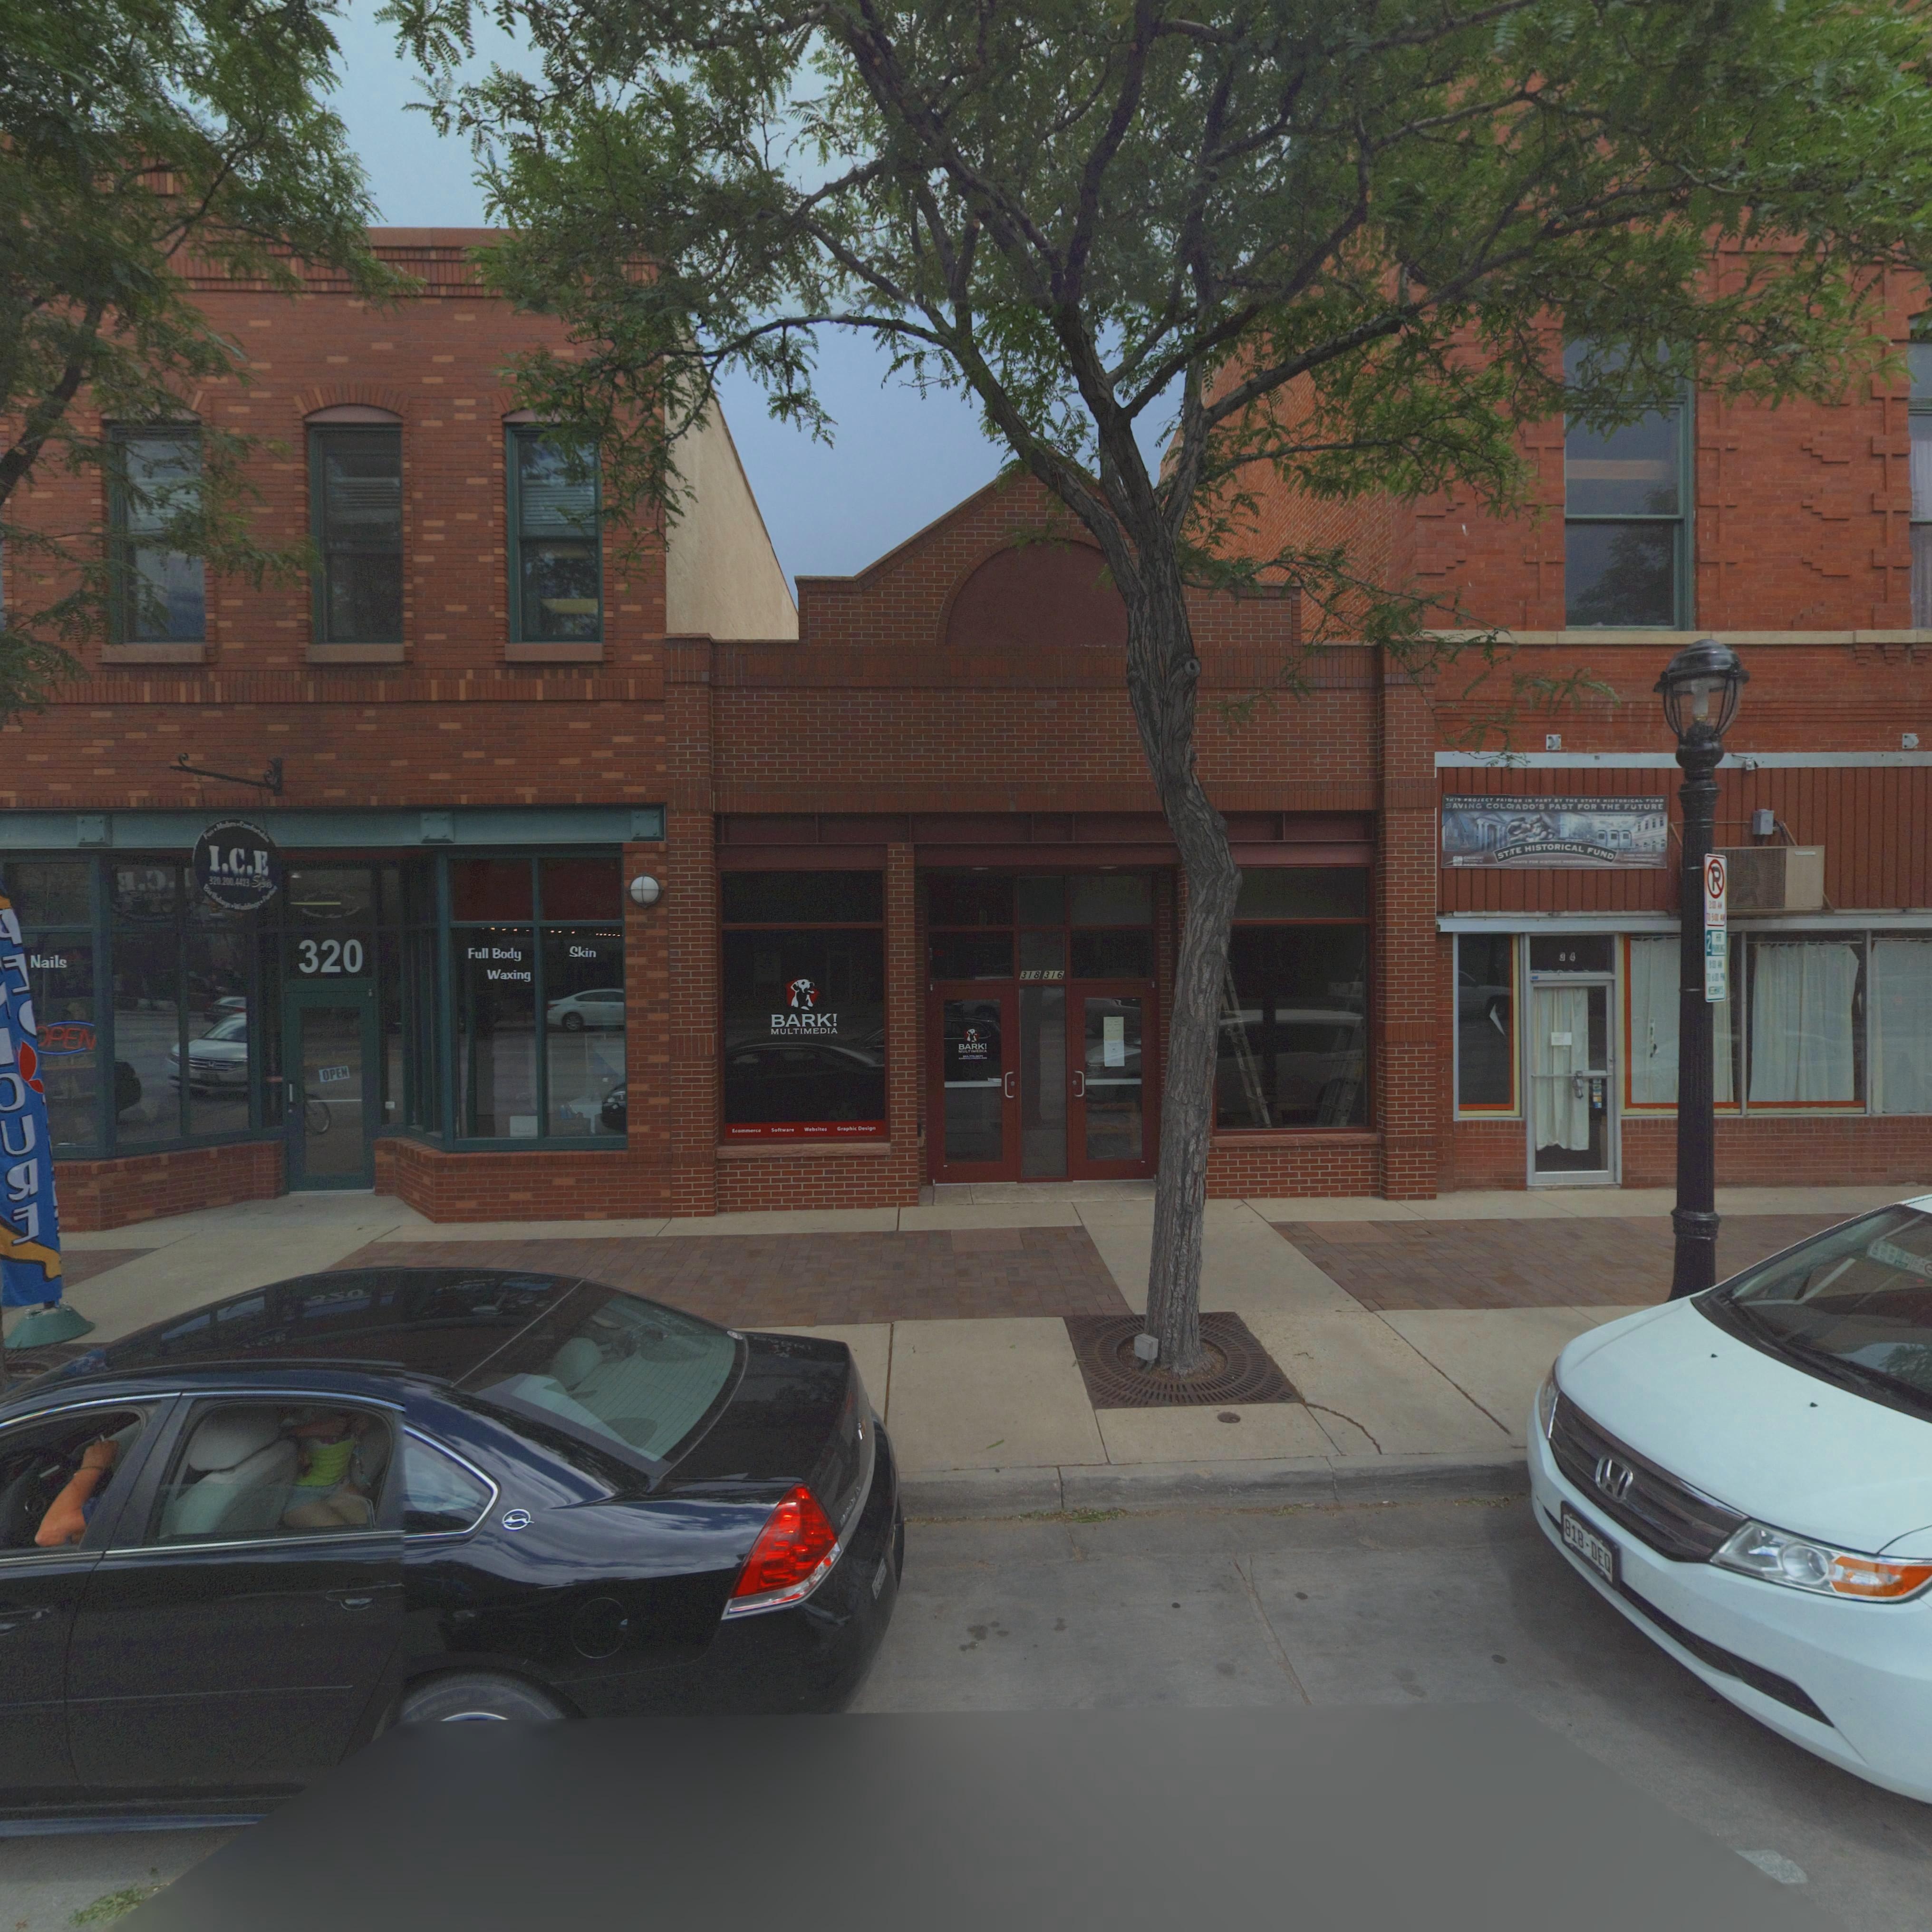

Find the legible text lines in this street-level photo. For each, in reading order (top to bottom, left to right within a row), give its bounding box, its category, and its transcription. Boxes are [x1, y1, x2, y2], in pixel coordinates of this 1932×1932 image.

[208, 844, 269, 876] BusinessName: I.C.E
[251, 874, 272, 892] BusinessName: Spa
[297, 938, 363, 974] StreetNumber: 320
[1560, 952, 1574, 960] StreetNumber: 3*4
[1020, 971, 1040, 978] StreetNumber: 318
[1043, 971, 1063, 978] StreetNumber: 316
[771, 1013, 838, 1027] BusinessName: BARK!
[771, 1027, 838, 1034] BusinessName: MULTIMEDIA
[958, 1043, 986, 1049] BusinessName: BARK!
[958, 1049, 987, 1053] BusinessName: MULTIMEDIA